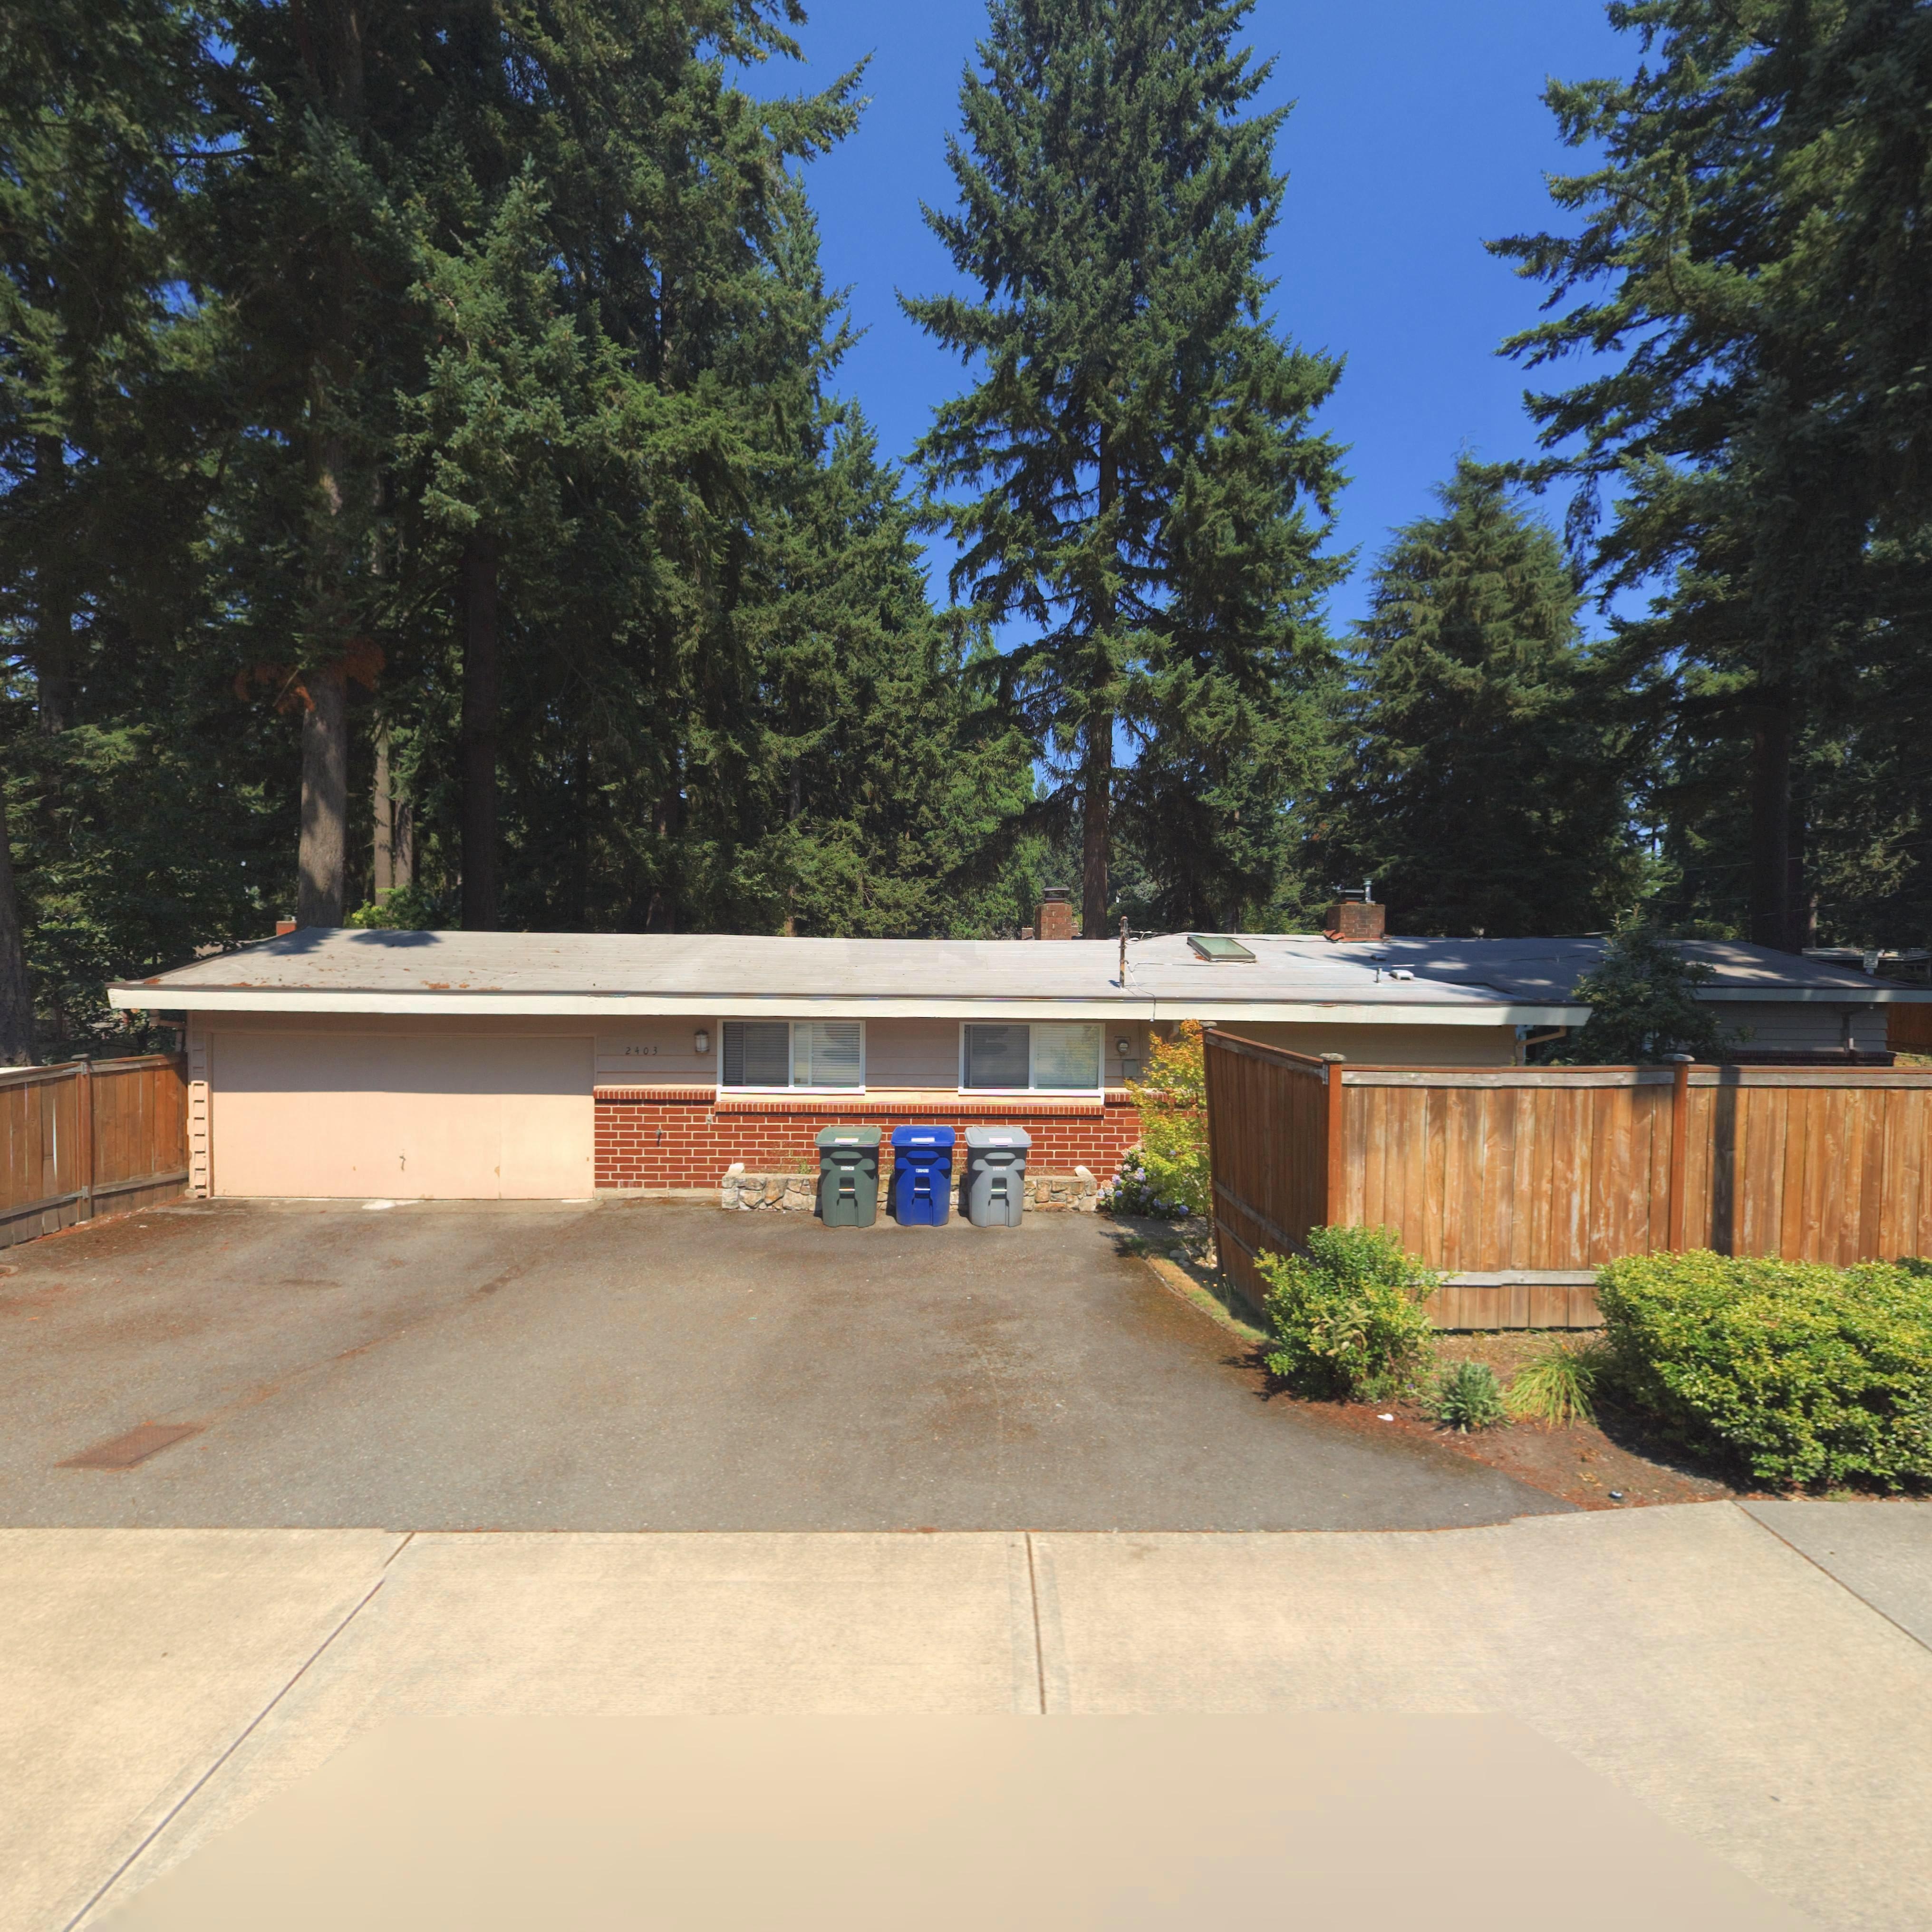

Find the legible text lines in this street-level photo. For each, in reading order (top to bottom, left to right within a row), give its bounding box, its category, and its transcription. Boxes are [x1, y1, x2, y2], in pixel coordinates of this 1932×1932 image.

[625, 1045, 657, 1056] StreetNumber: 2403